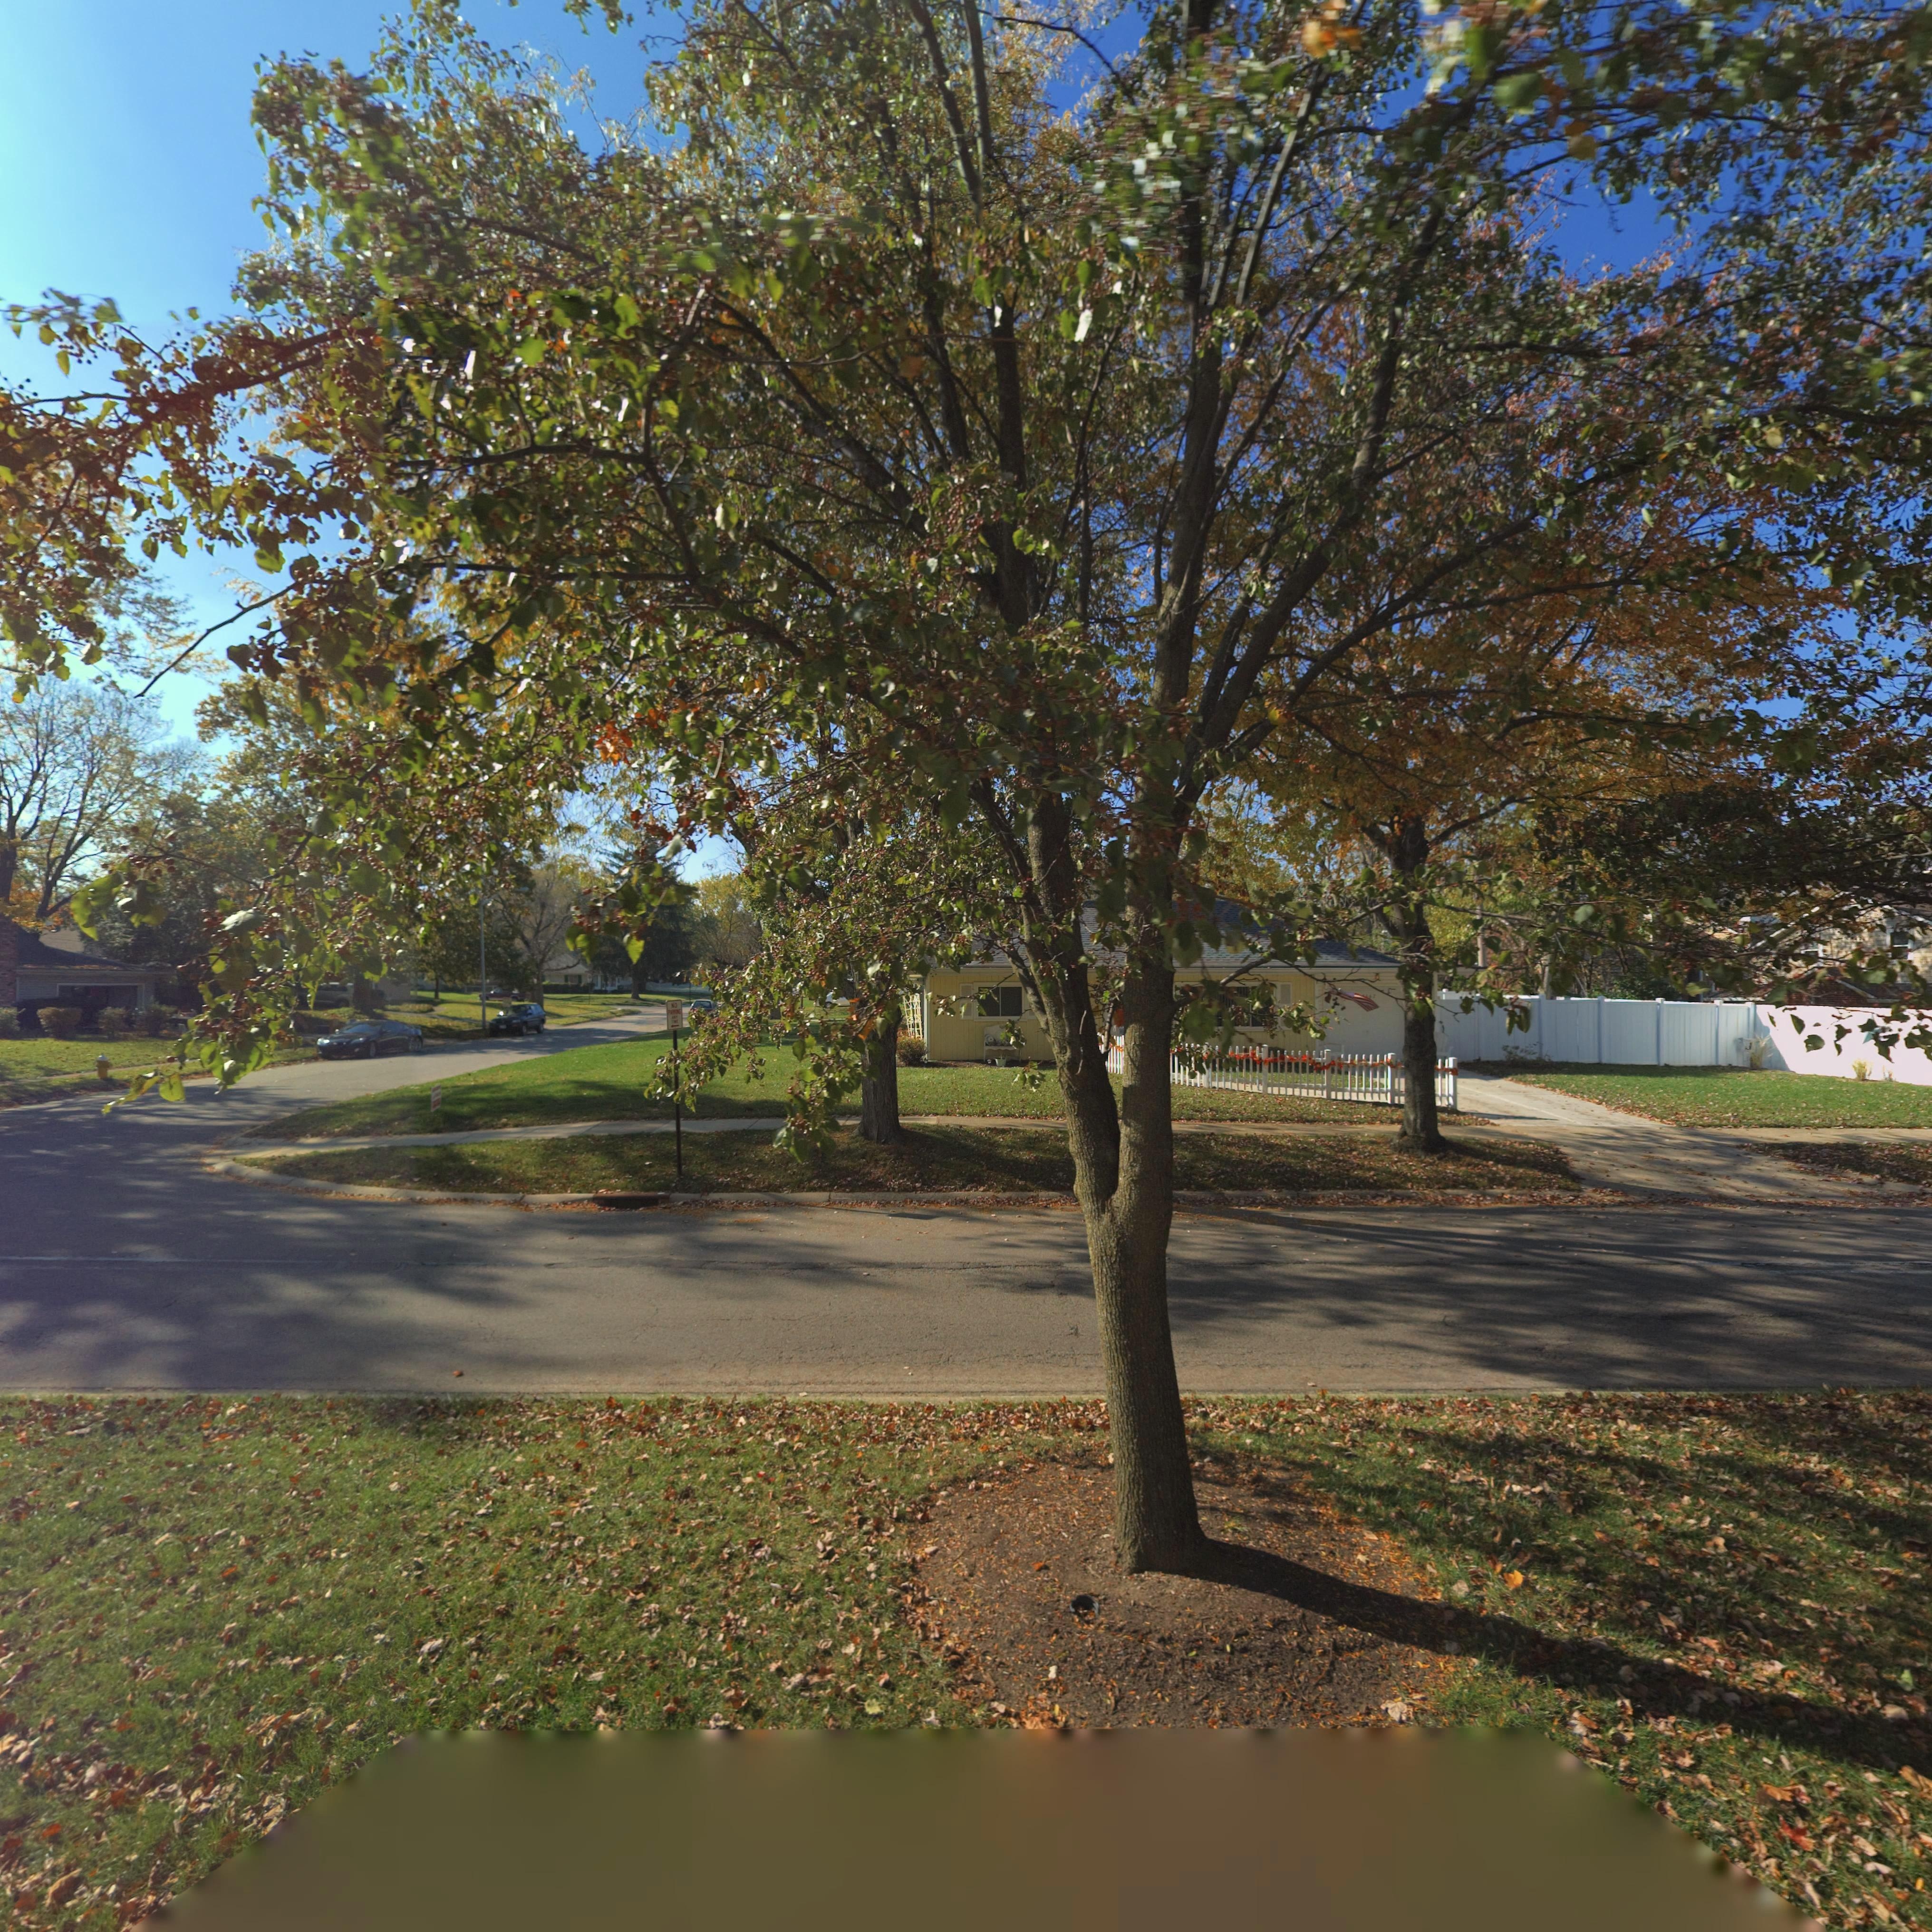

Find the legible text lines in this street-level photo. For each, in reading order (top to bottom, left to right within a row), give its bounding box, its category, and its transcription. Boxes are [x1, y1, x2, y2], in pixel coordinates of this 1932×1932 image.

[670, 1002, 678, 1009] None: NO